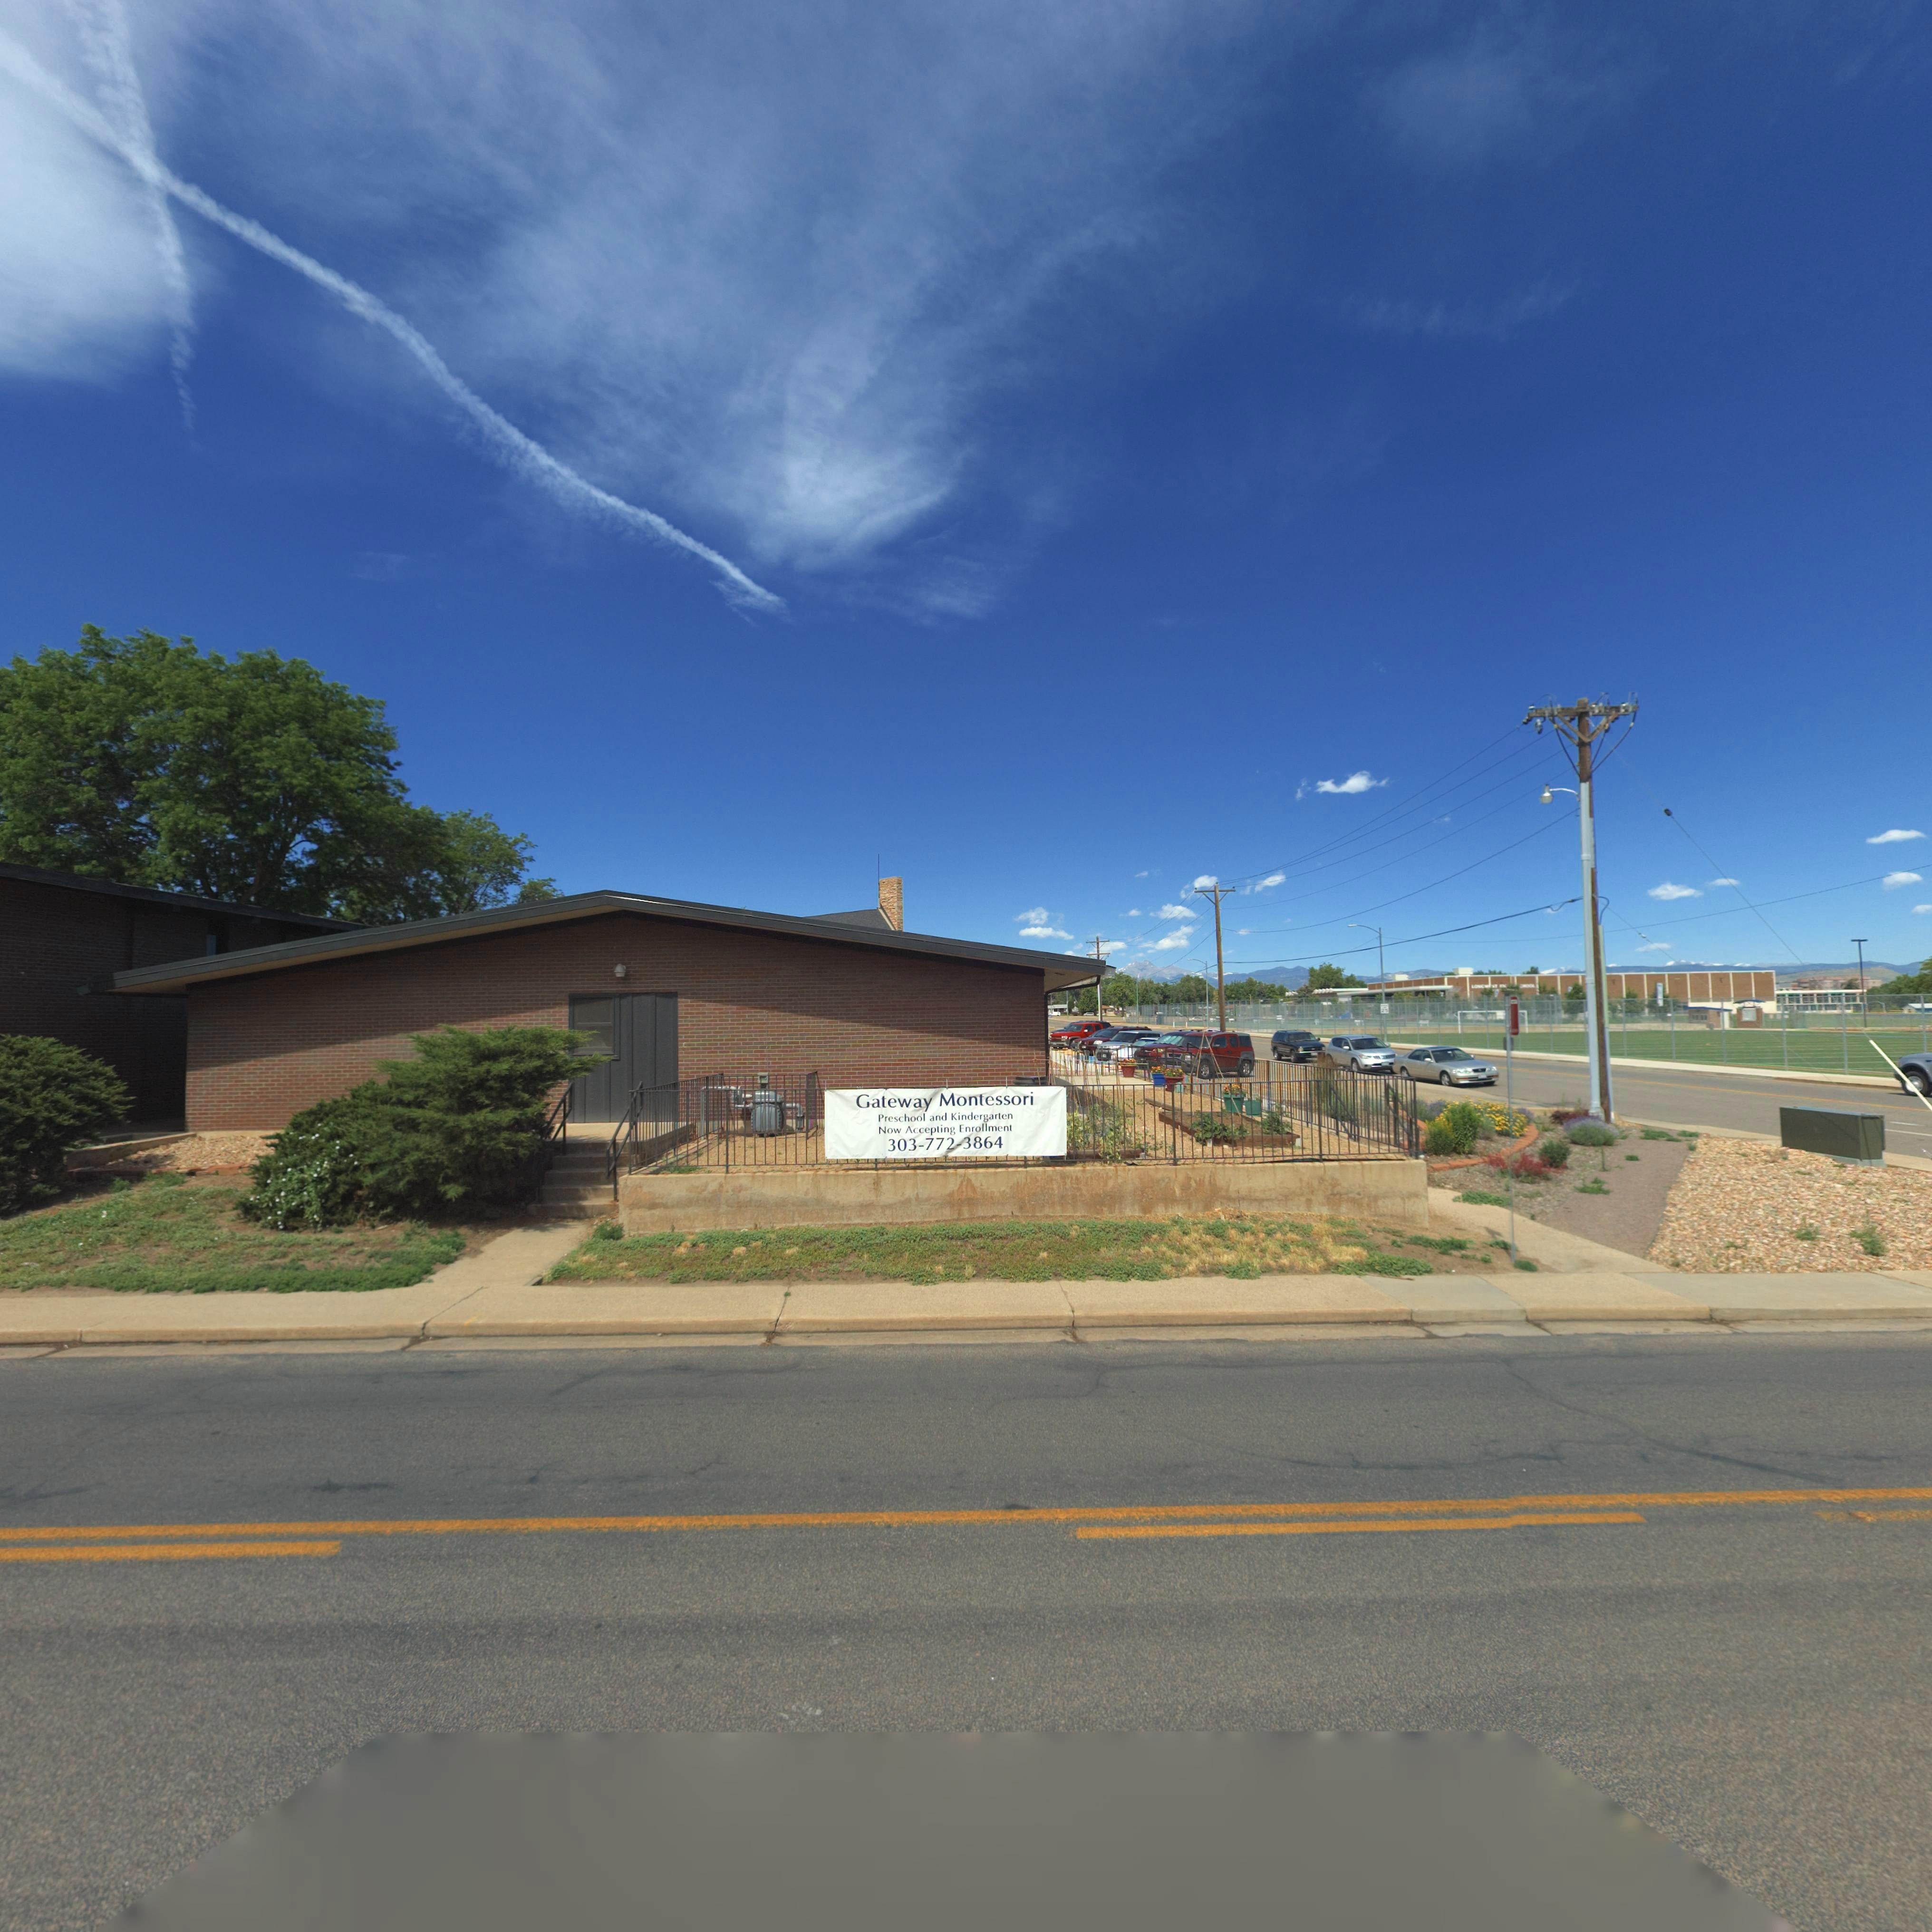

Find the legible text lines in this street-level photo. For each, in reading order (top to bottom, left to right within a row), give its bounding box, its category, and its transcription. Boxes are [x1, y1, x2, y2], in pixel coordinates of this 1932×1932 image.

[1471, 983, 1536, 988] BusinessName: LONG***T ** ****HOOL
[855, 1091, 1034, 1112] BusinessName: Gatweay Montessori